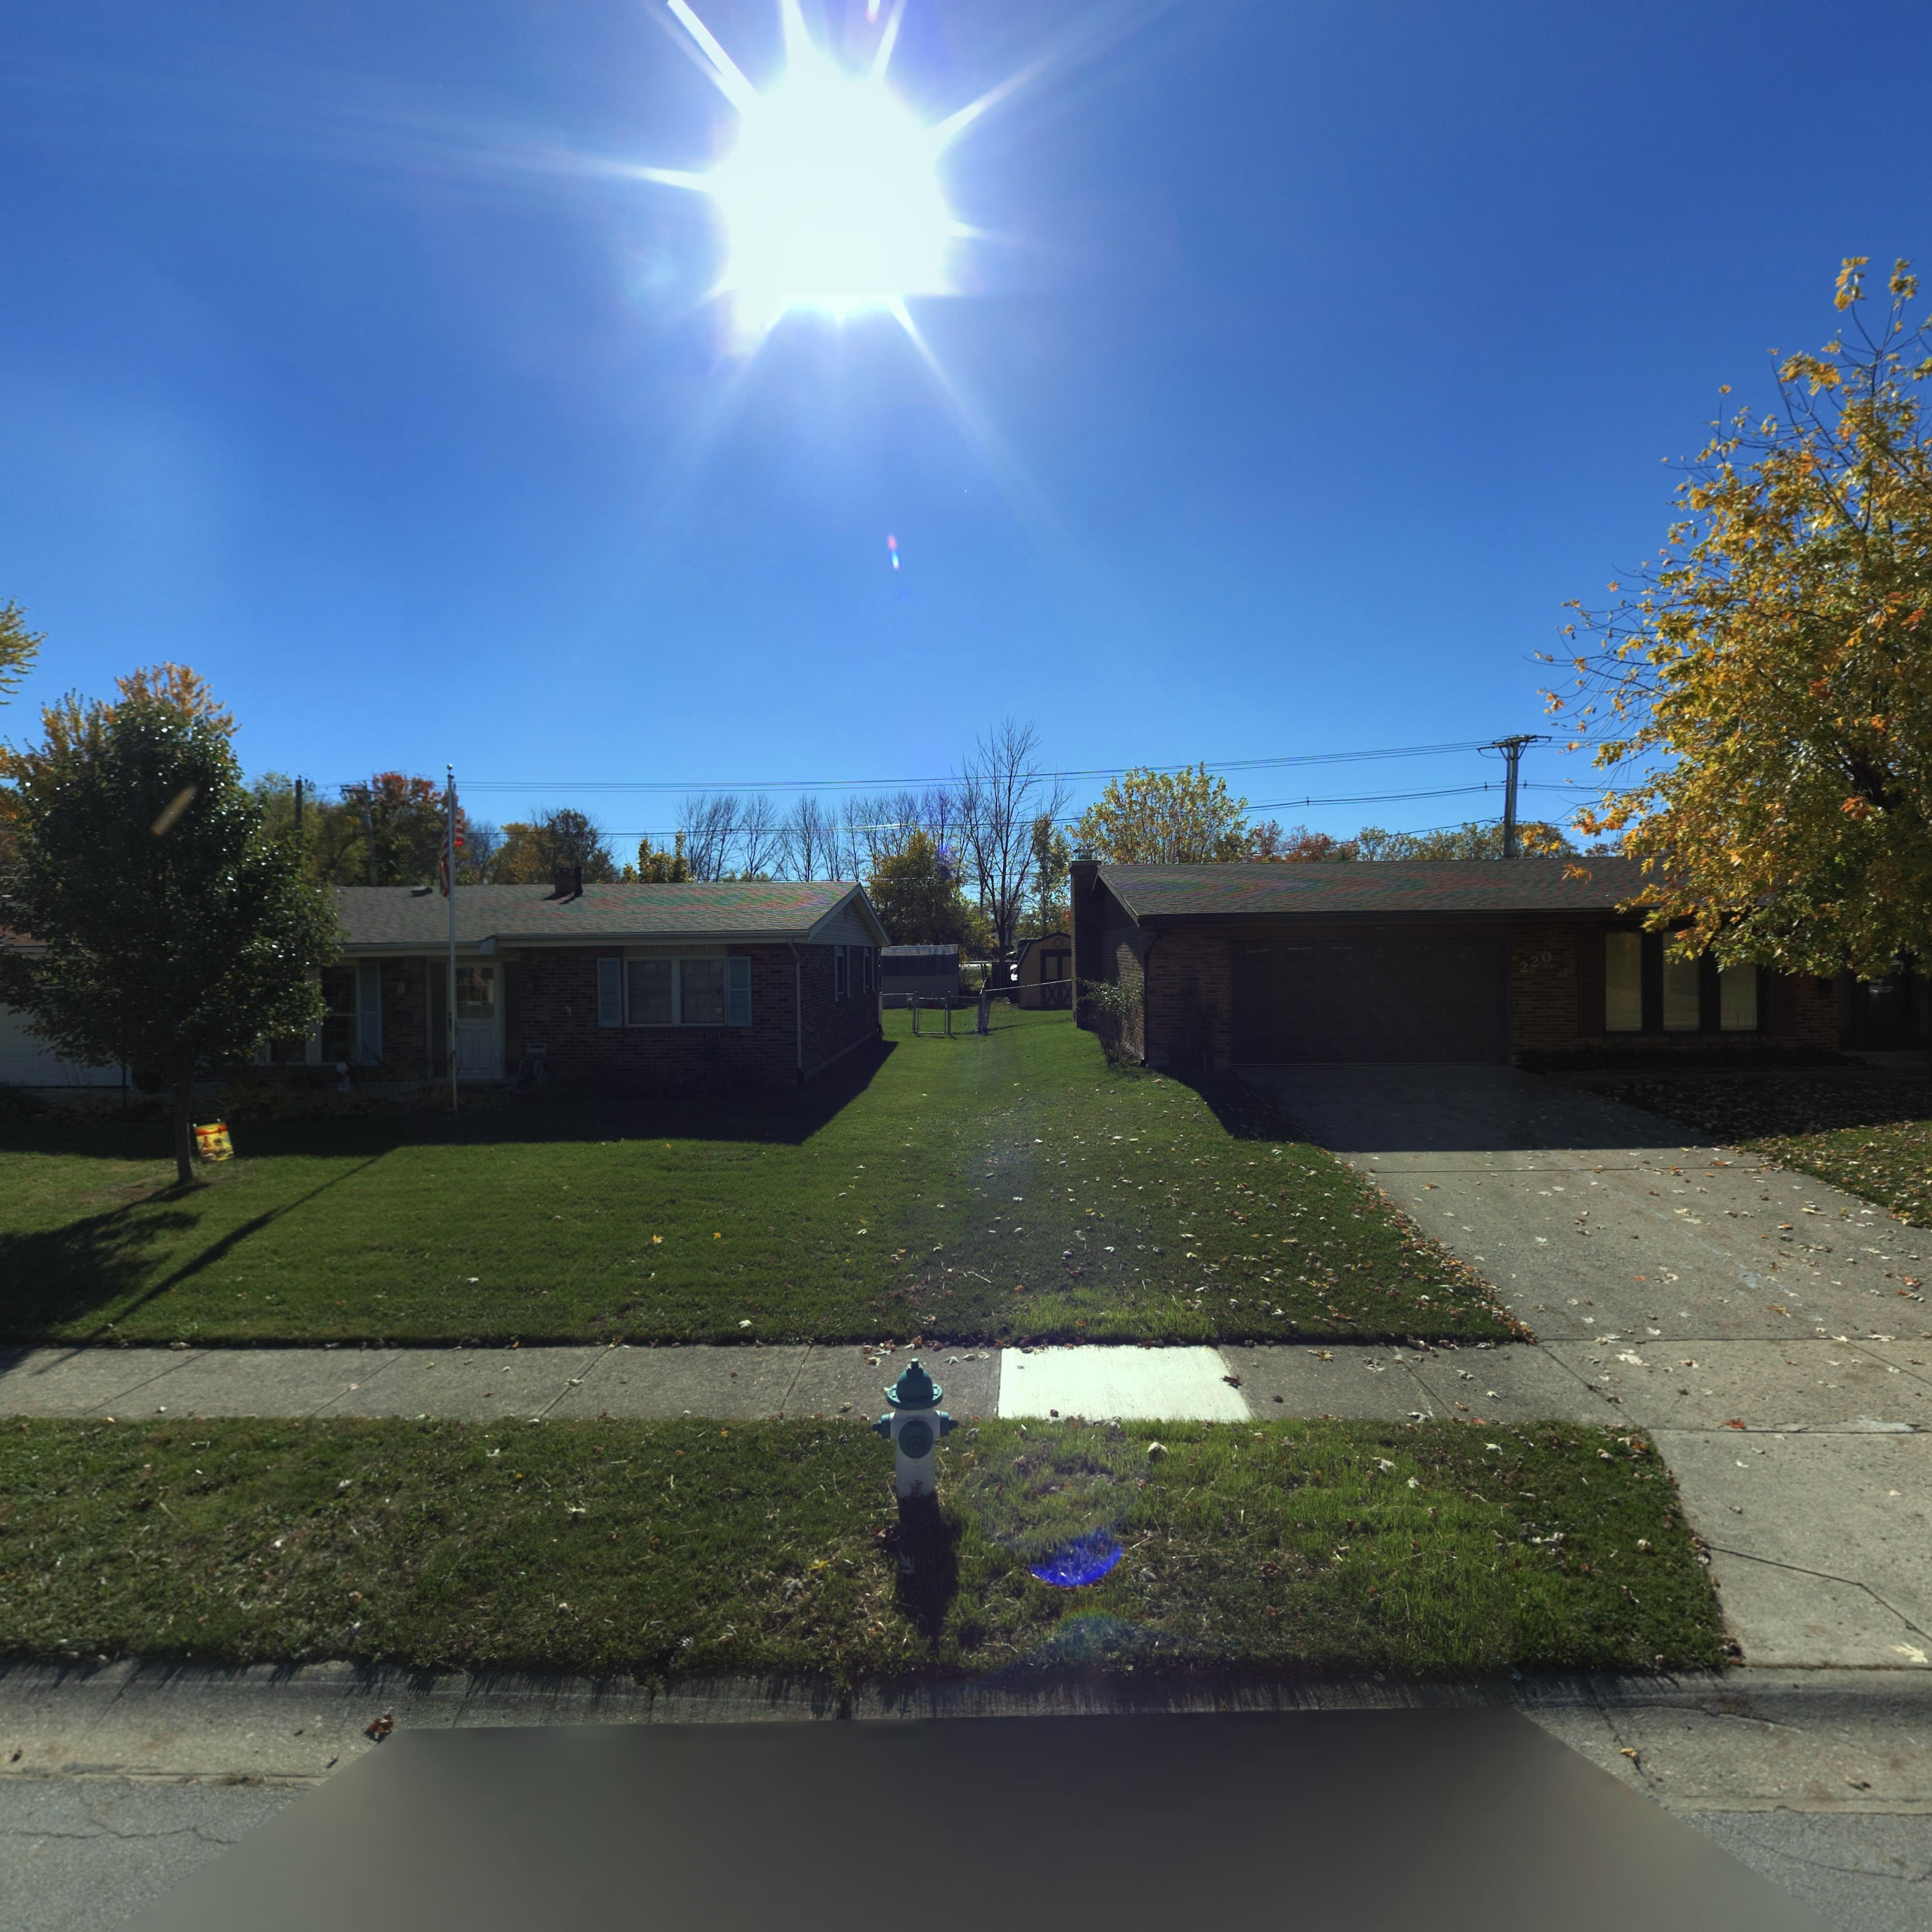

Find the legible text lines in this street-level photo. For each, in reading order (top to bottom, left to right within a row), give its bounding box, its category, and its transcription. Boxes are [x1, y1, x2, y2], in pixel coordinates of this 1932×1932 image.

[1518, 951, 1552, 973] StreetNumber: 220